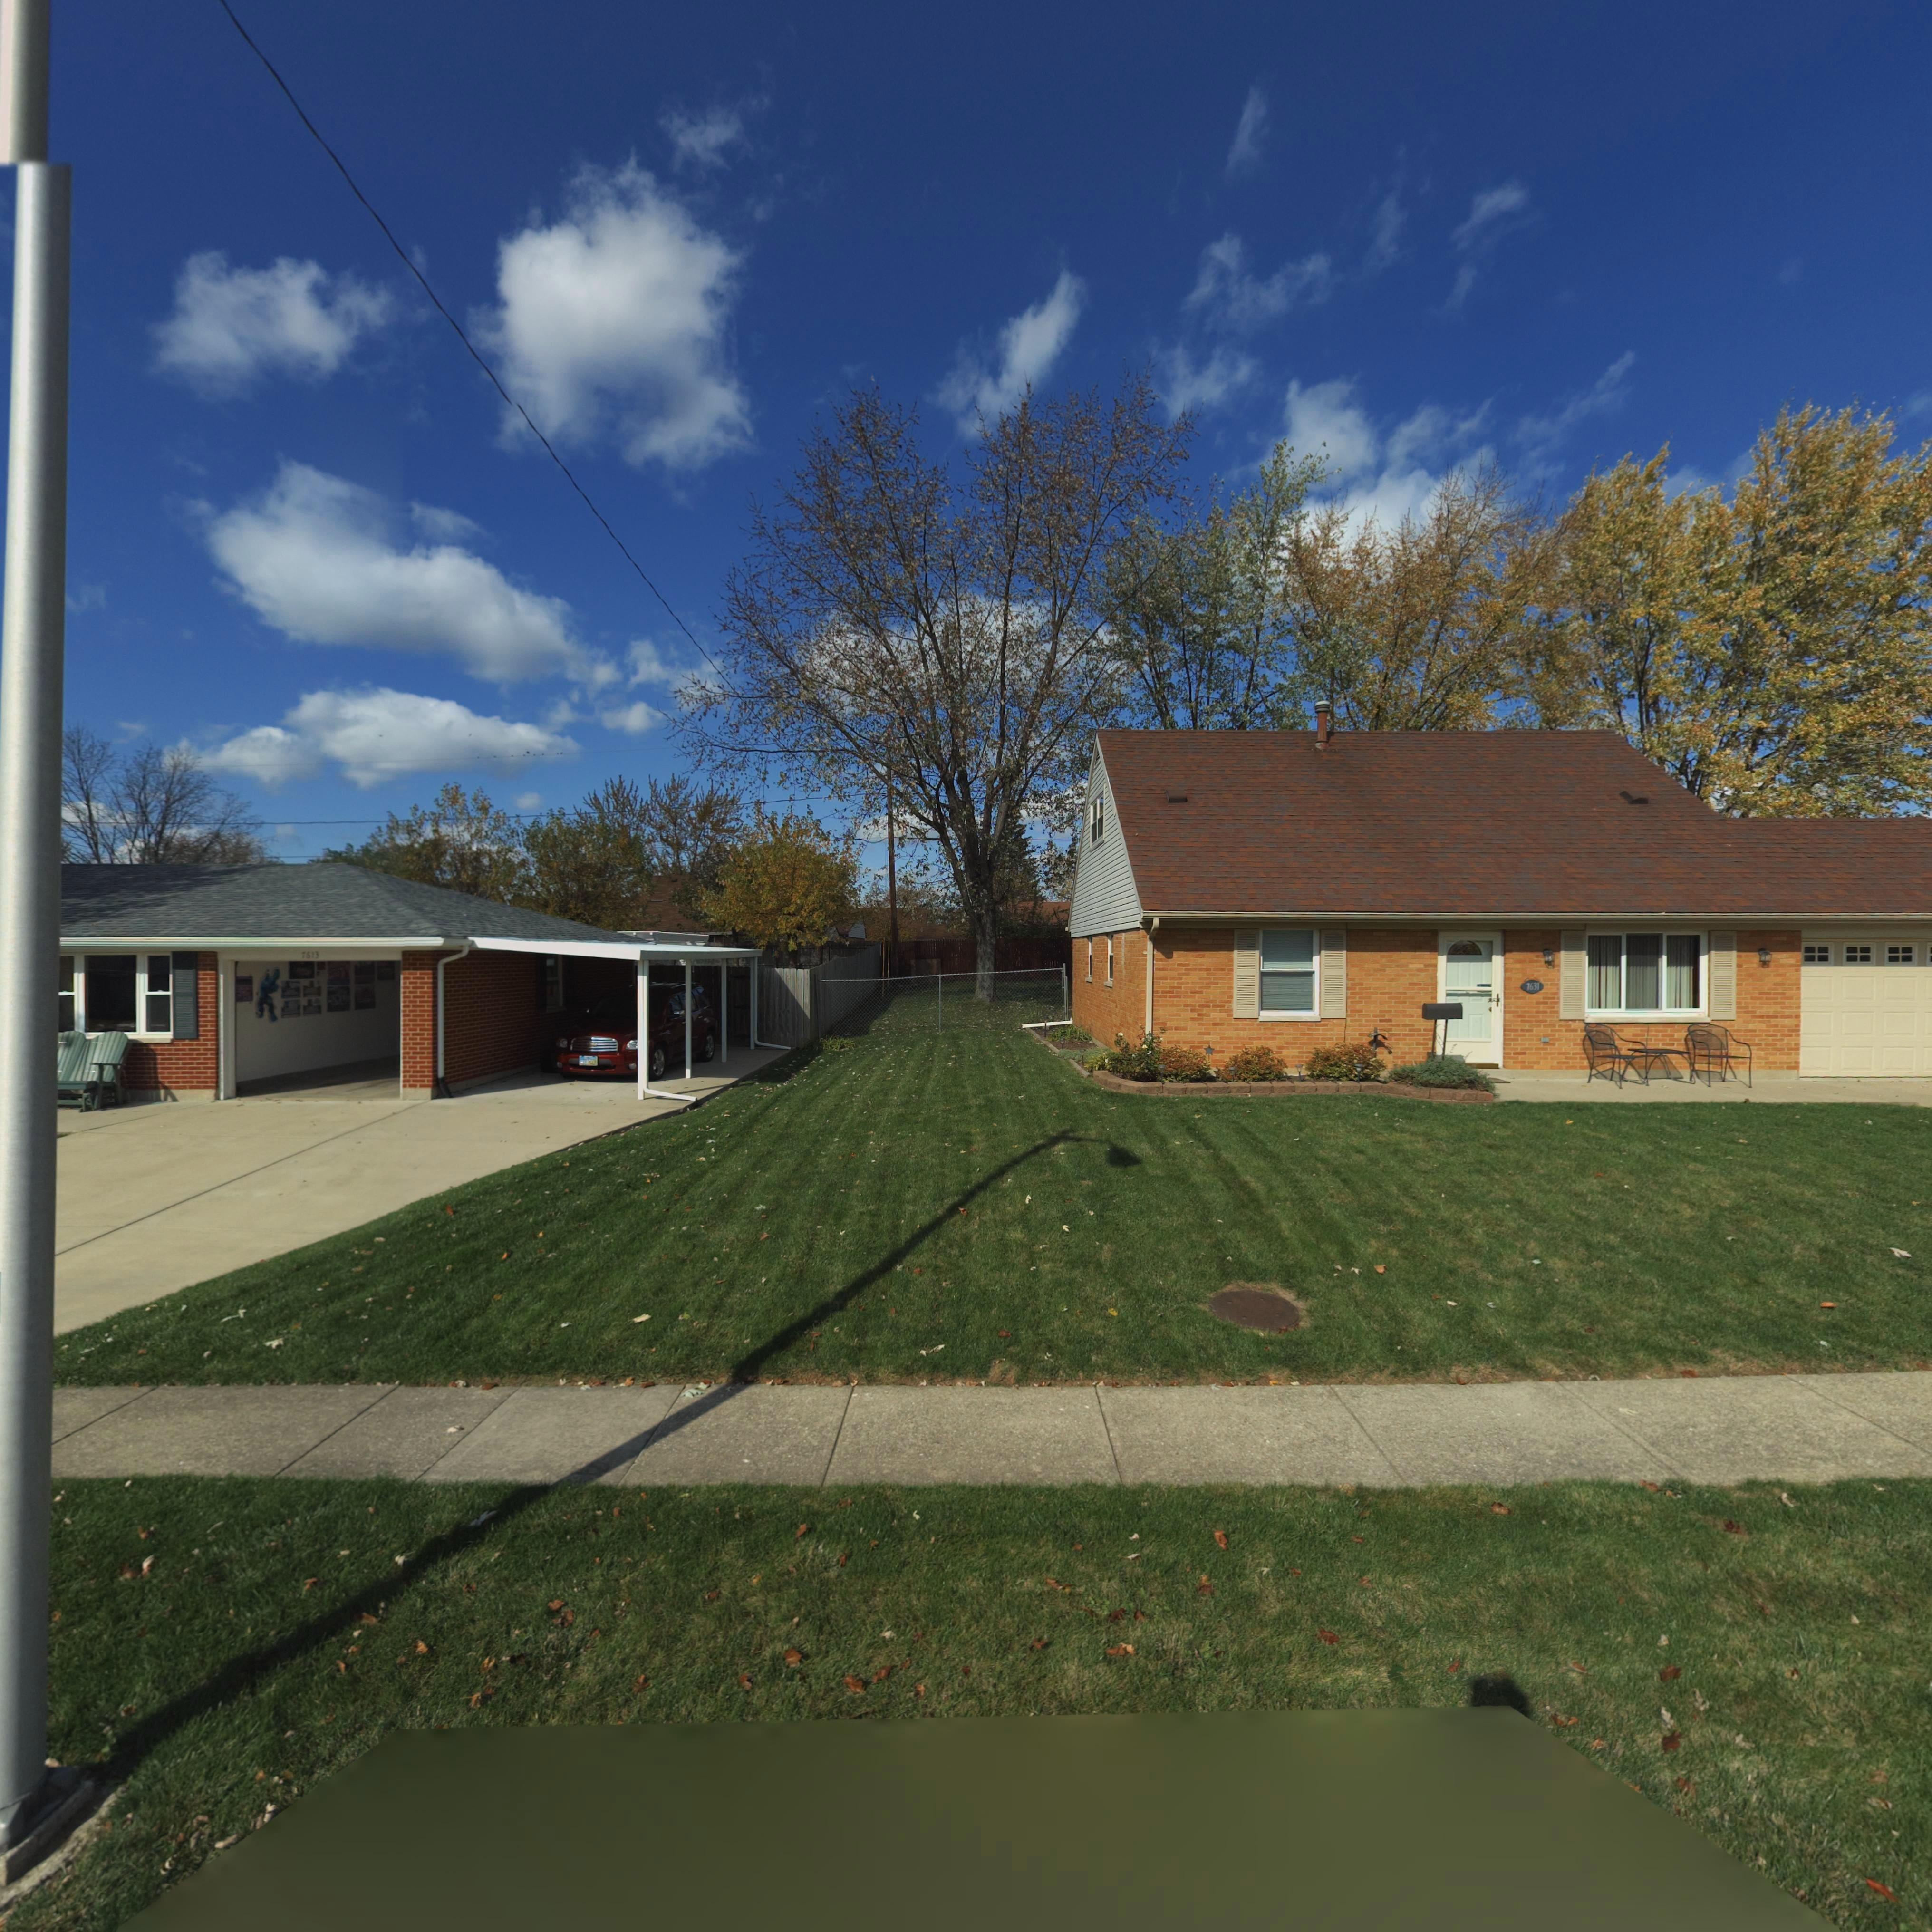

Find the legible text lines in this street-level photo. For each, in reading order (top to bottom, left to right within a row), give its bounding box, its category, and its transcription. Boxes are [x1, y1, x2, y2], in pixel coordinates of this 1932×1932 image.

[300, 950, 319, 959] StreetNumber: 7613
[1526, 982, 1540, 991] StreetNumber: 7631